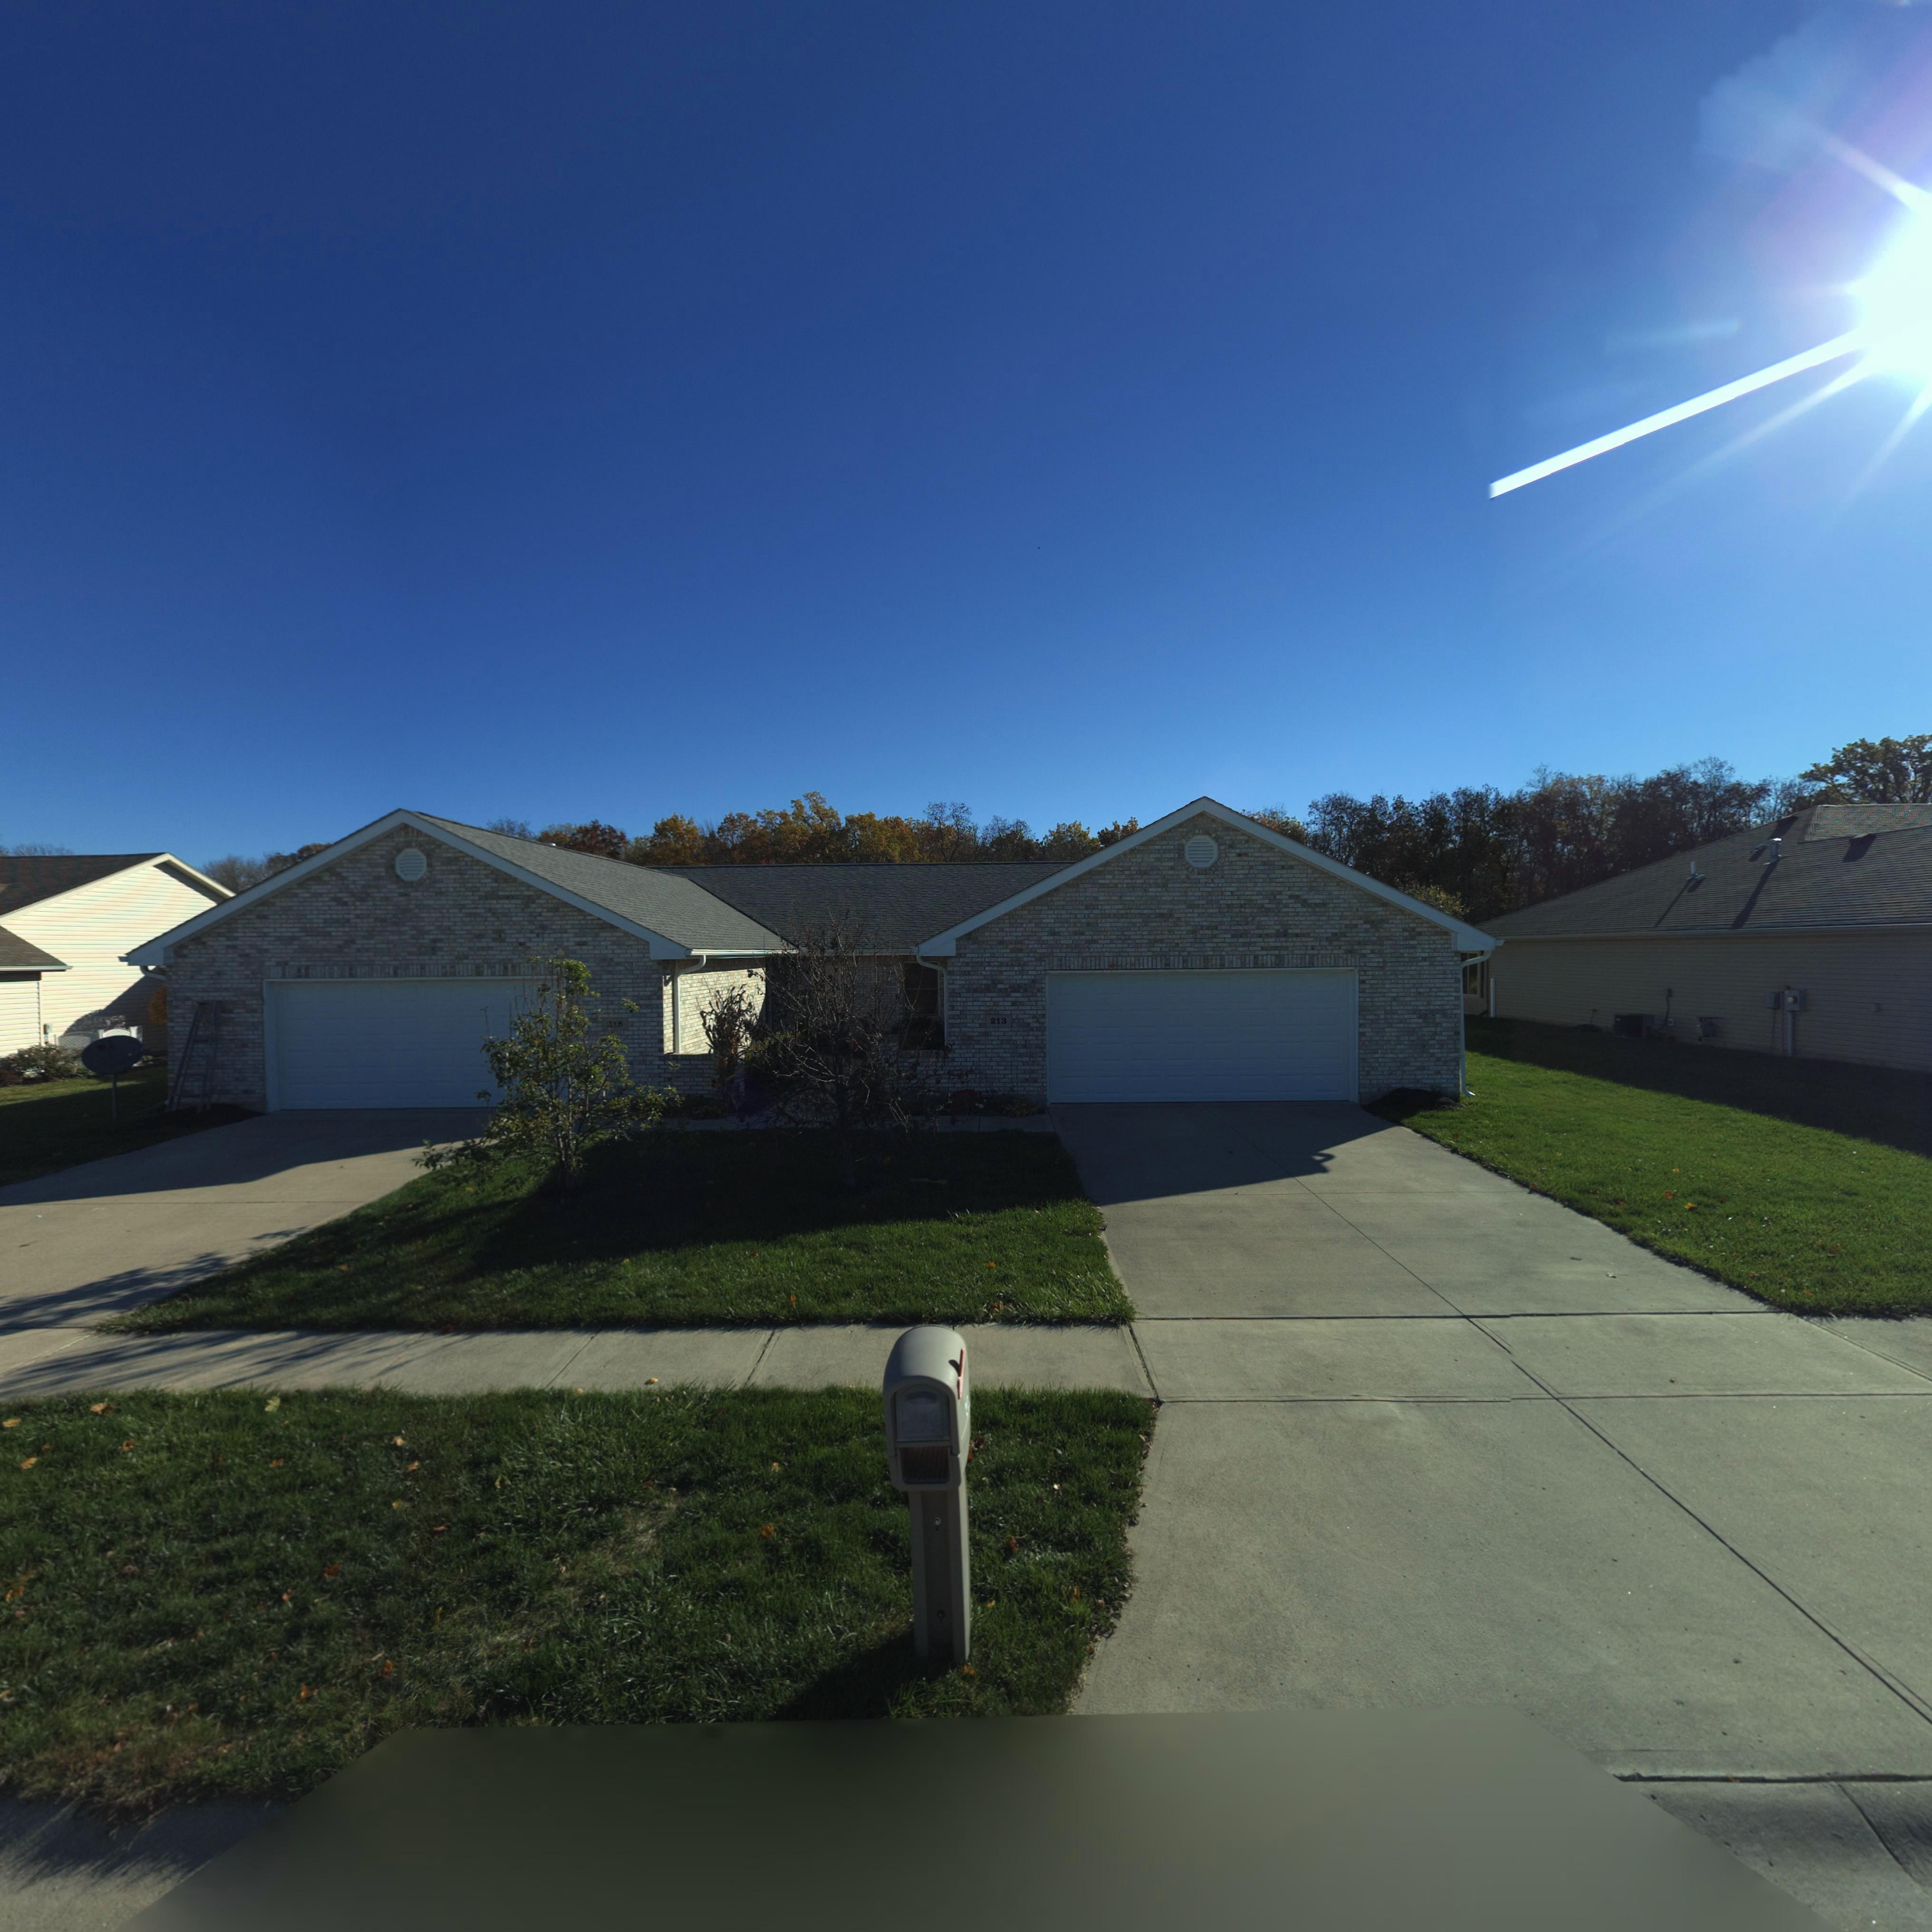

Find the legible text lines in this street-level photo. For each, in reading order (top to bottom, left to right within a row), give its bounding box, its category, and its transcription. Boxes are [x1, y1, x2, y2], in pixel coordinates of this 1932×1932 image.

[989, 1017, 1007, 1025] StreetNumber: 213